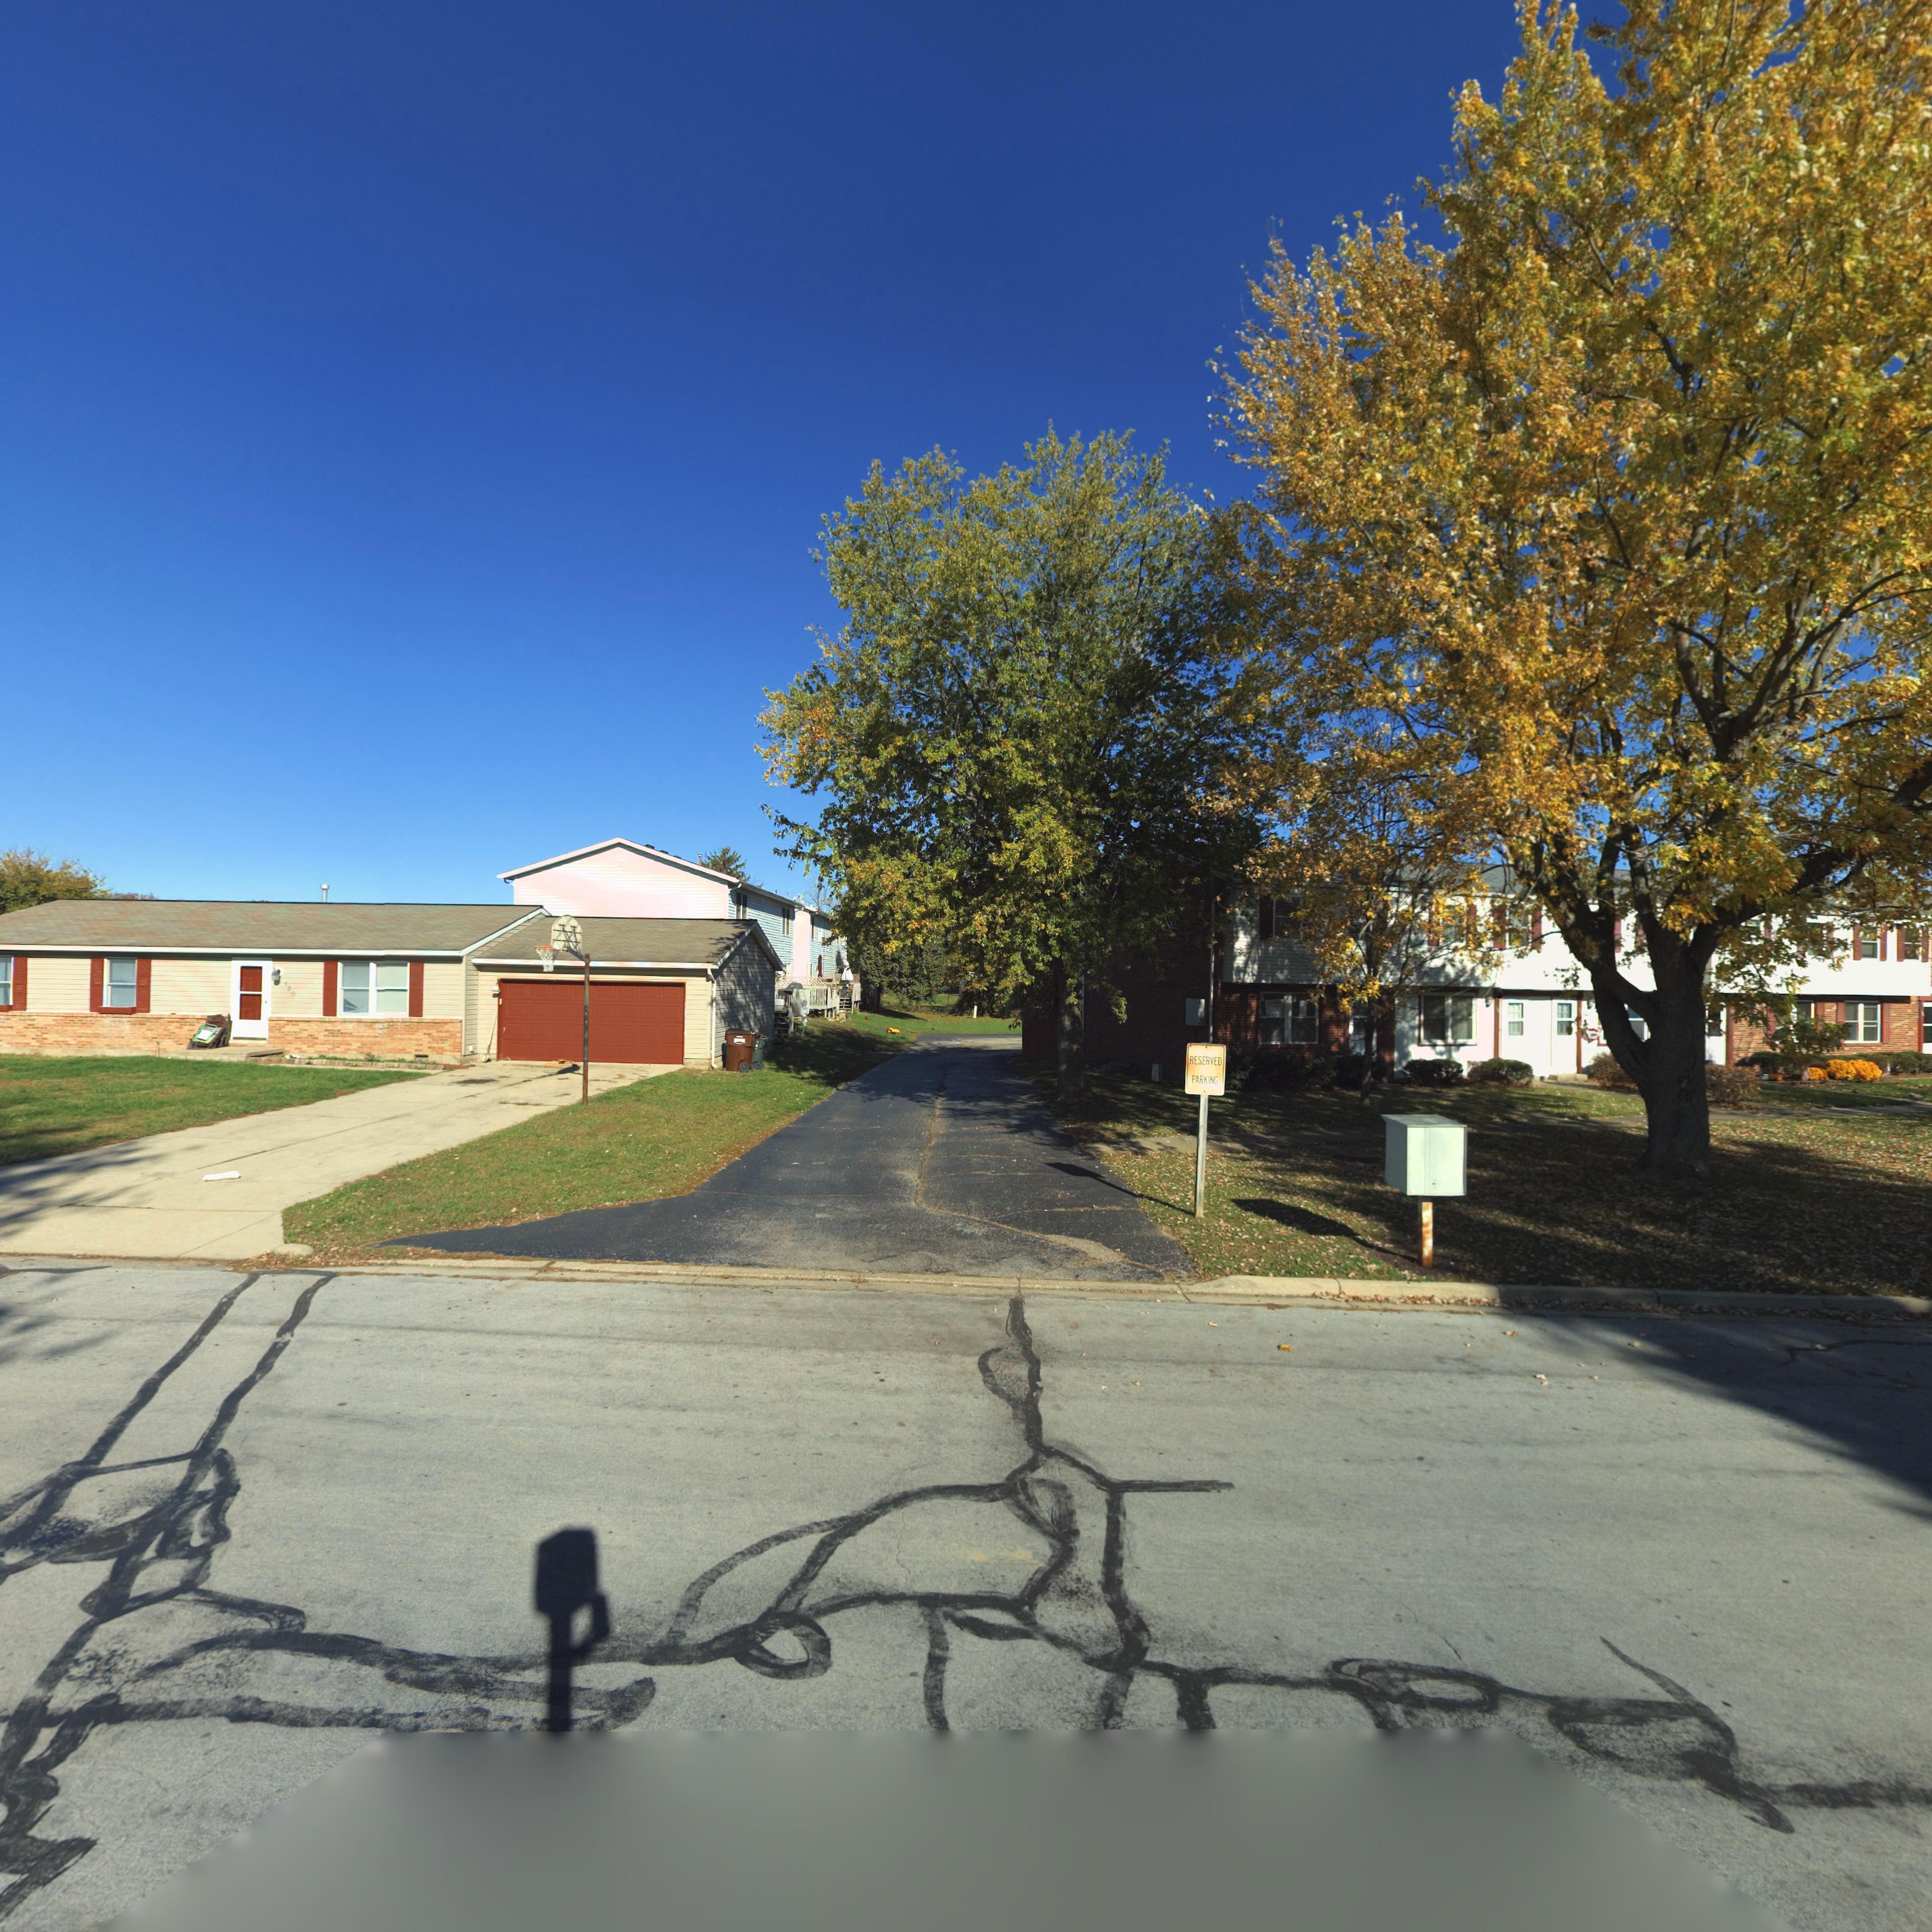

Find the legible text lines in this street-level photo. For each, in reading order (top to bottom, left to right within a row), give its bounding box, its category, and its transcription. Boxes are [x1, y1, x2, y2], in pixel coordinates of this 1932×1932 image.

[284, 980, 297, 998] StreetNumber: **0